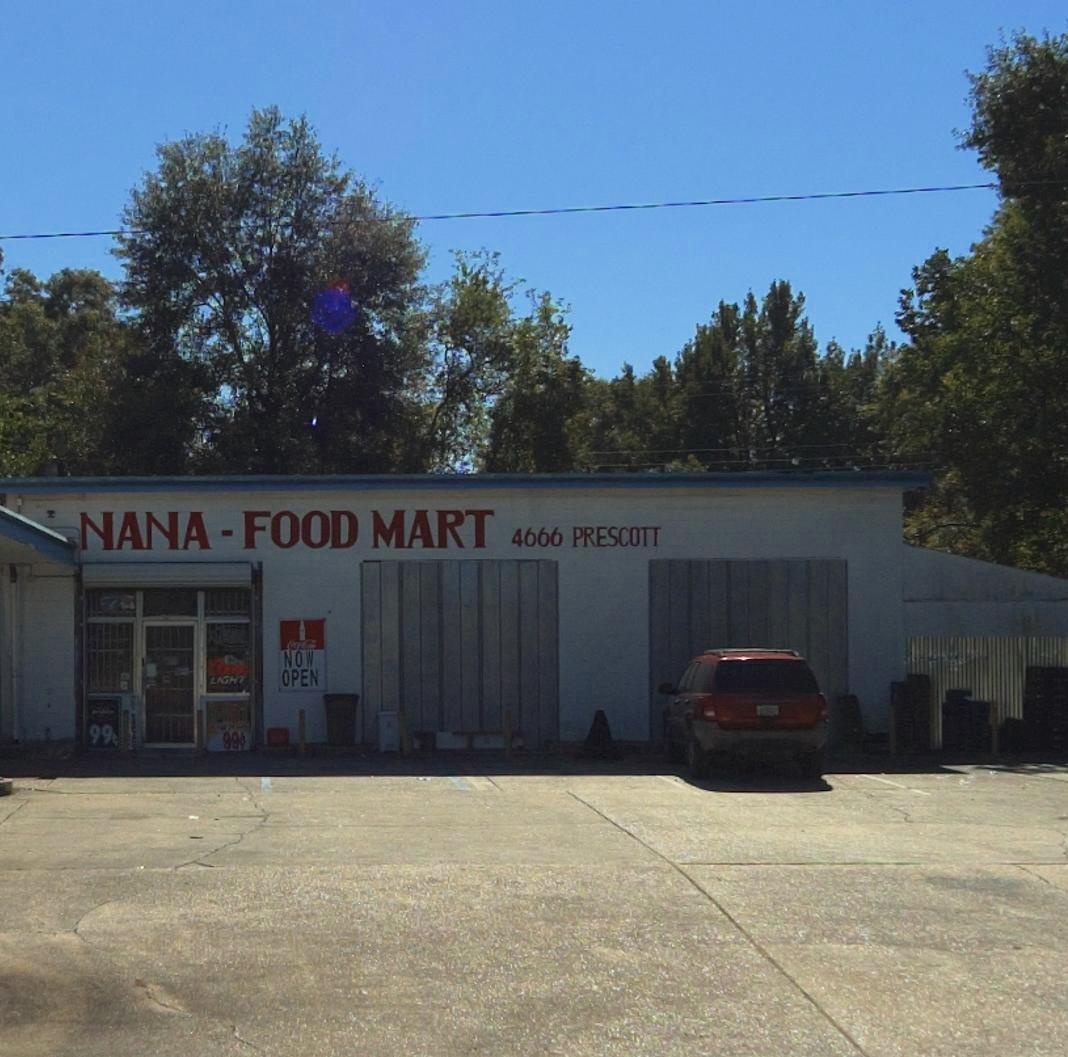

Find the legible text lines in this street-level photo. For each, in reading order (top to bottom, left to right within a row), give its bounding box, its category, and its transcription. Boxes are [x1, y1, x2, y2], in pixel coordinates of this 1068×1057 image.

[78, 508, 497, 551] BusinessName: NANA - FOOD MART
[511, 525, 564, 548] StreetNumber: 4666
[571, 525, 661, 548] StreetName: PRESCOTT
[282, 648, 316, 669] None: NOW
[208, 675, 249, 685] None: LIGHT
[281, 666, 321, 688] None: OPEN
[88, 723, 115, 747] None: 99
[221, 730, 240, 751] None: 99